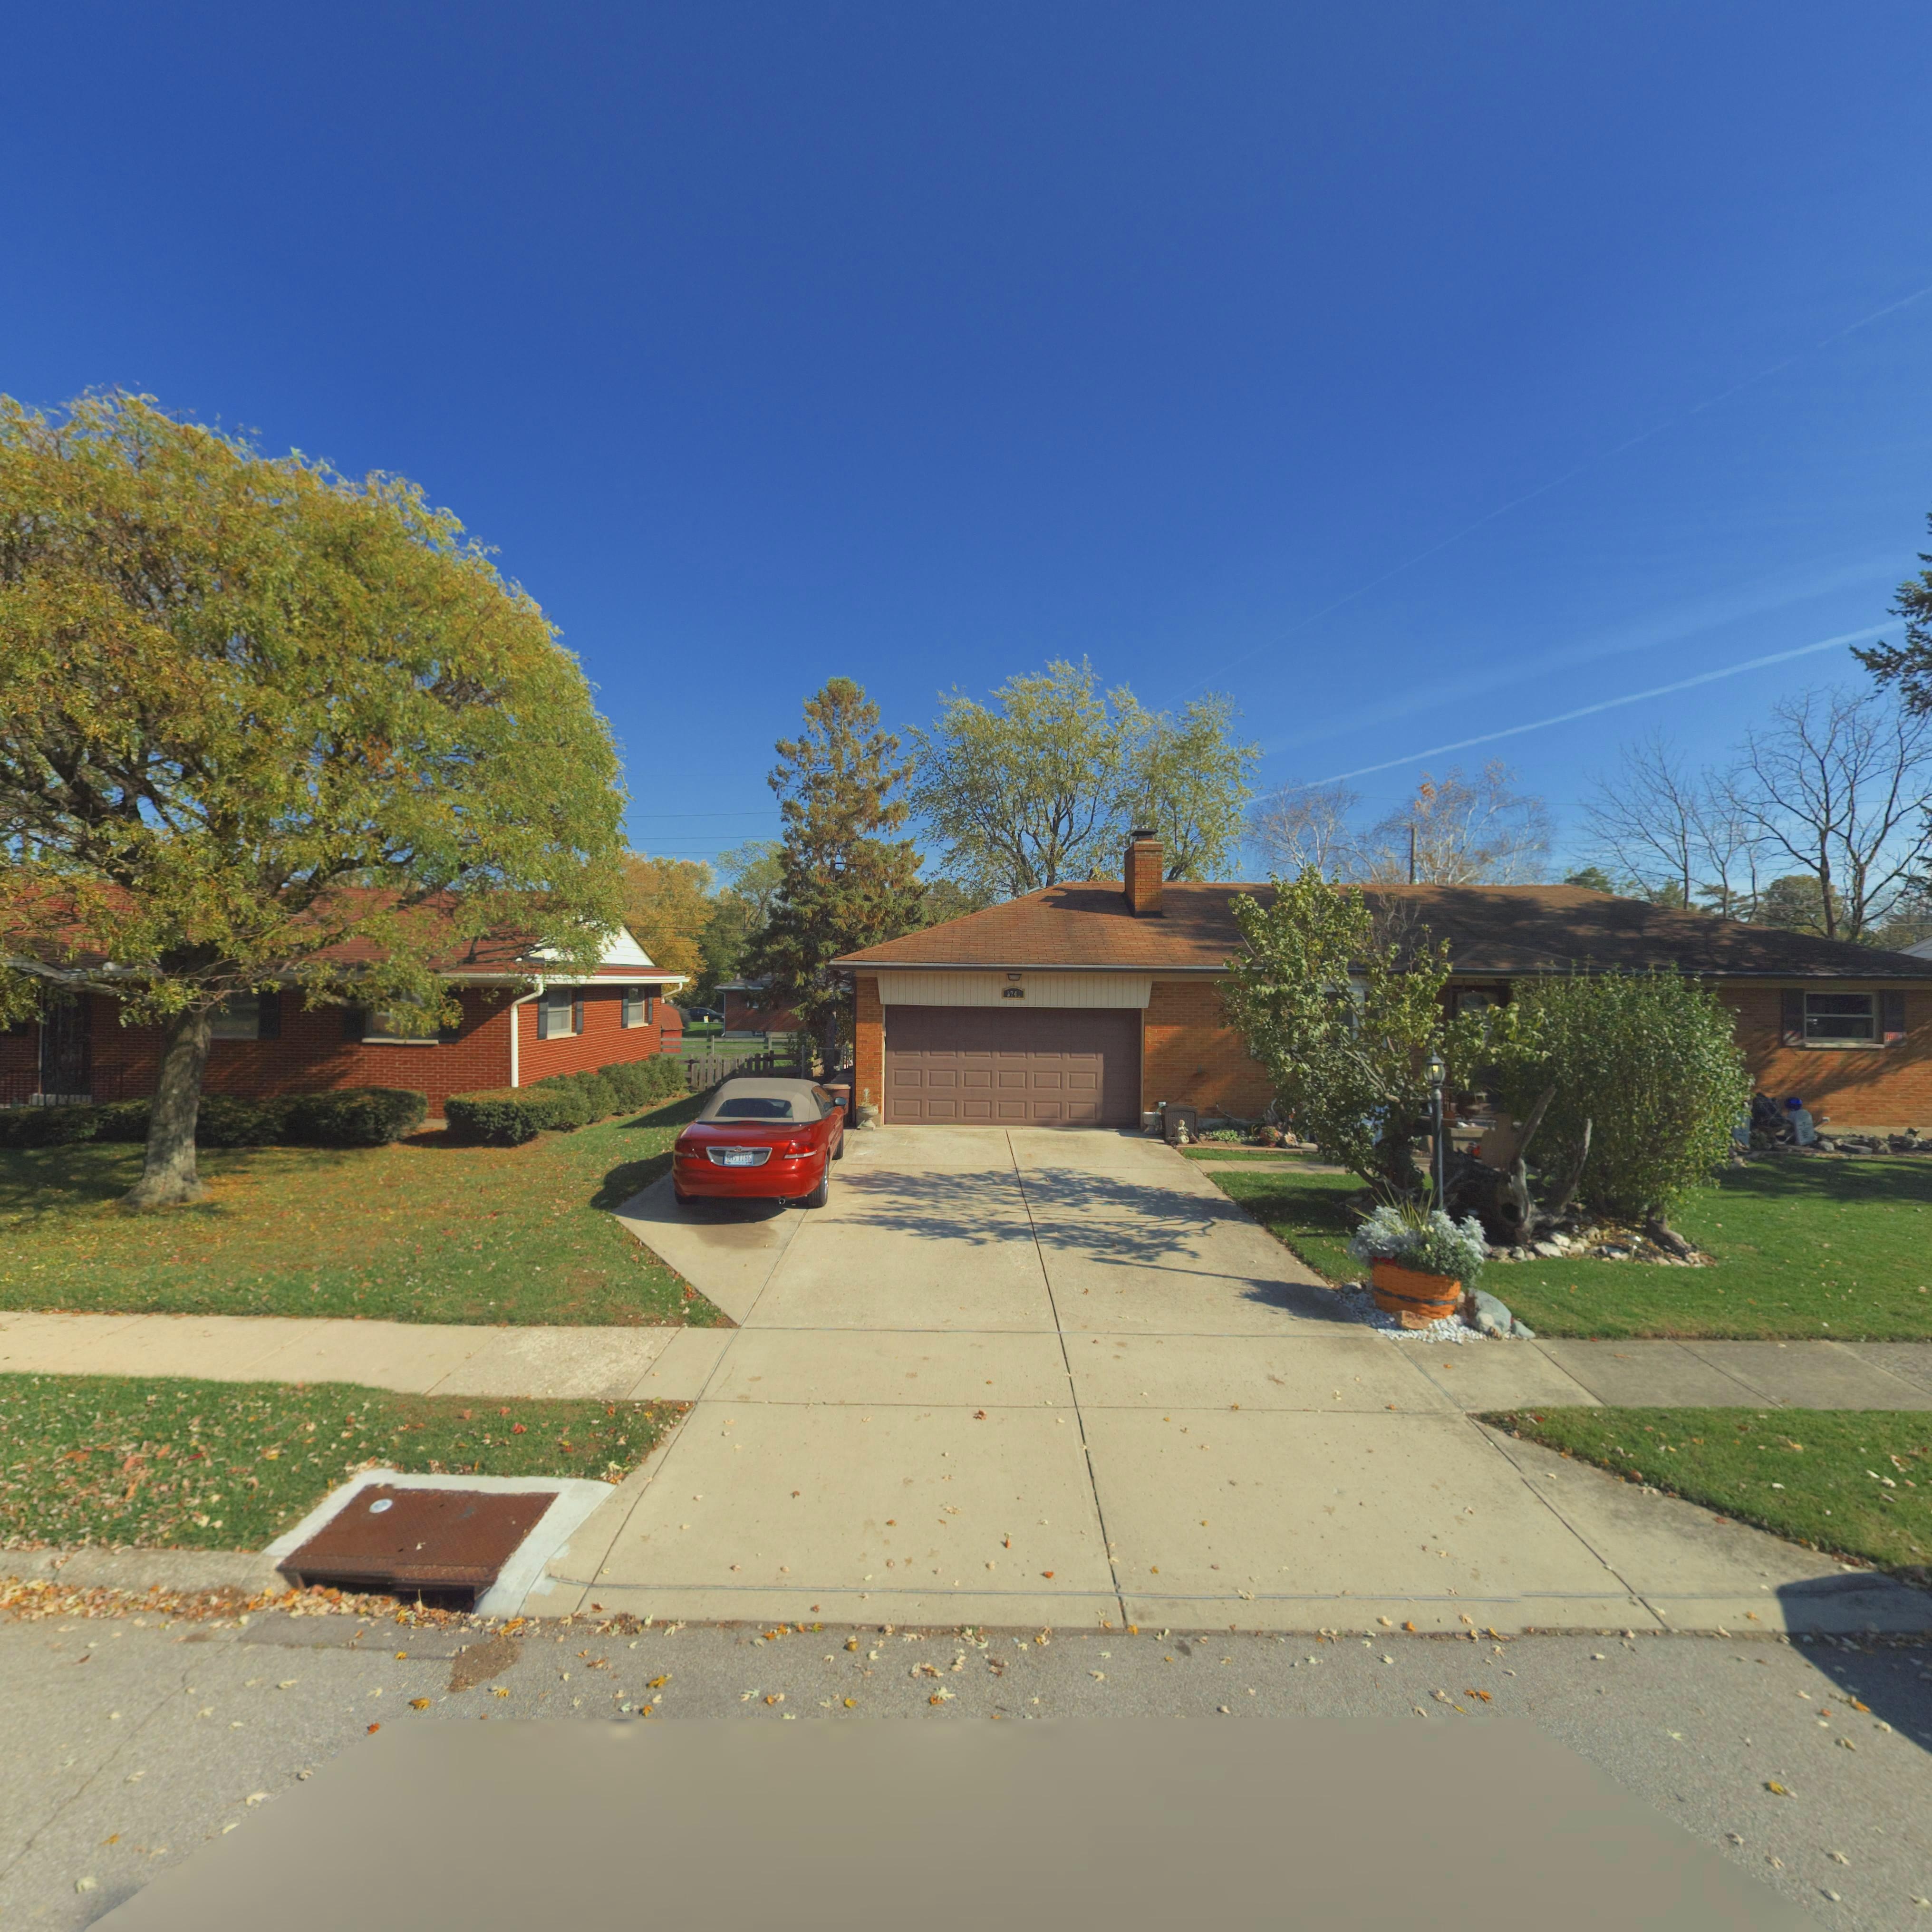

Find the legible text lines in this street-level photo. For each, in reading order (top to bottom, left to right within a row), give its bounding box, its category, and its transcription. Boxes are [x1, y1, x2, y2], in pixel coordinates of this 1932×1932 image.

[1006, 990, 1021, 997] StreetNumber: 3742
[726, 1153, 751, 1161] None: GHS 1186